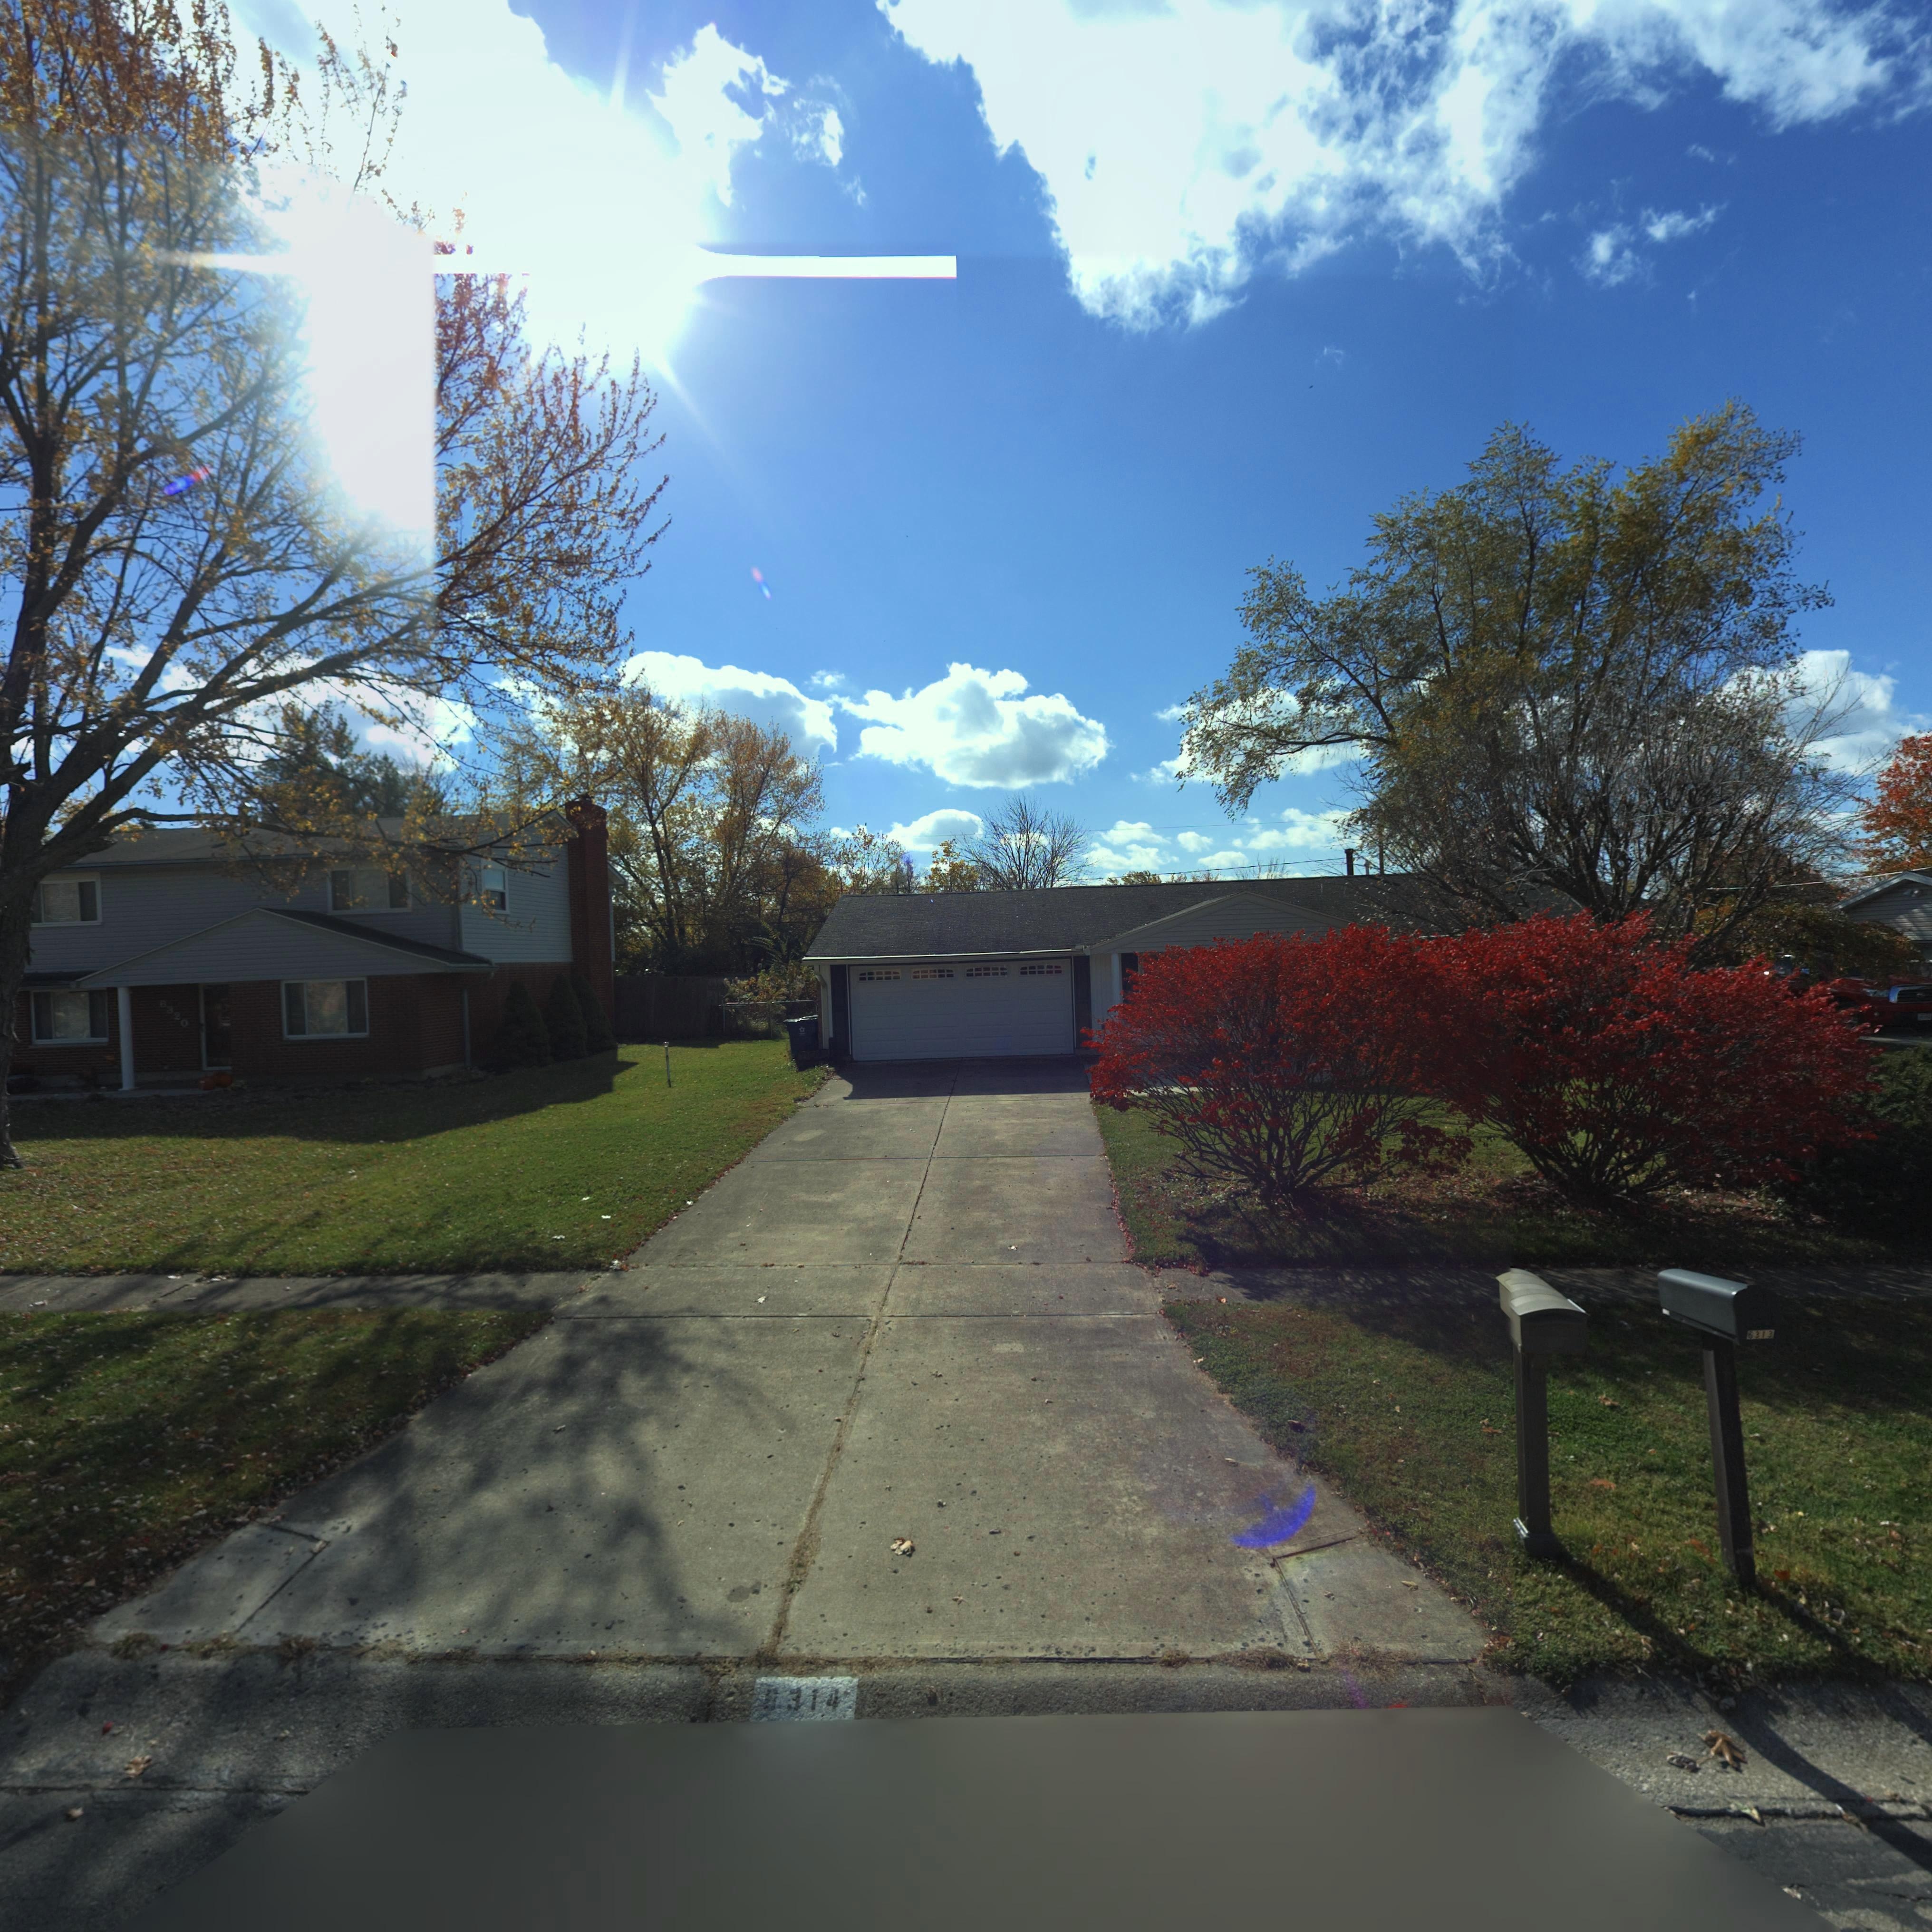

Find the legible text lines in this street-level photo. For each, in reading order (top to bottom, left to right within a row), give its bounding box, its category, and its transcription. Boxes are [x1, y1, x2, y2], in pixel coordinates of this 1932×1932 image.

[158, 999, 189, 1029] StreetNumber: 6320
[1747, 1329, 1775, 1340] StreetNumber: 6313
[762, 1686, 841, 1713] StreetNumber: 6314